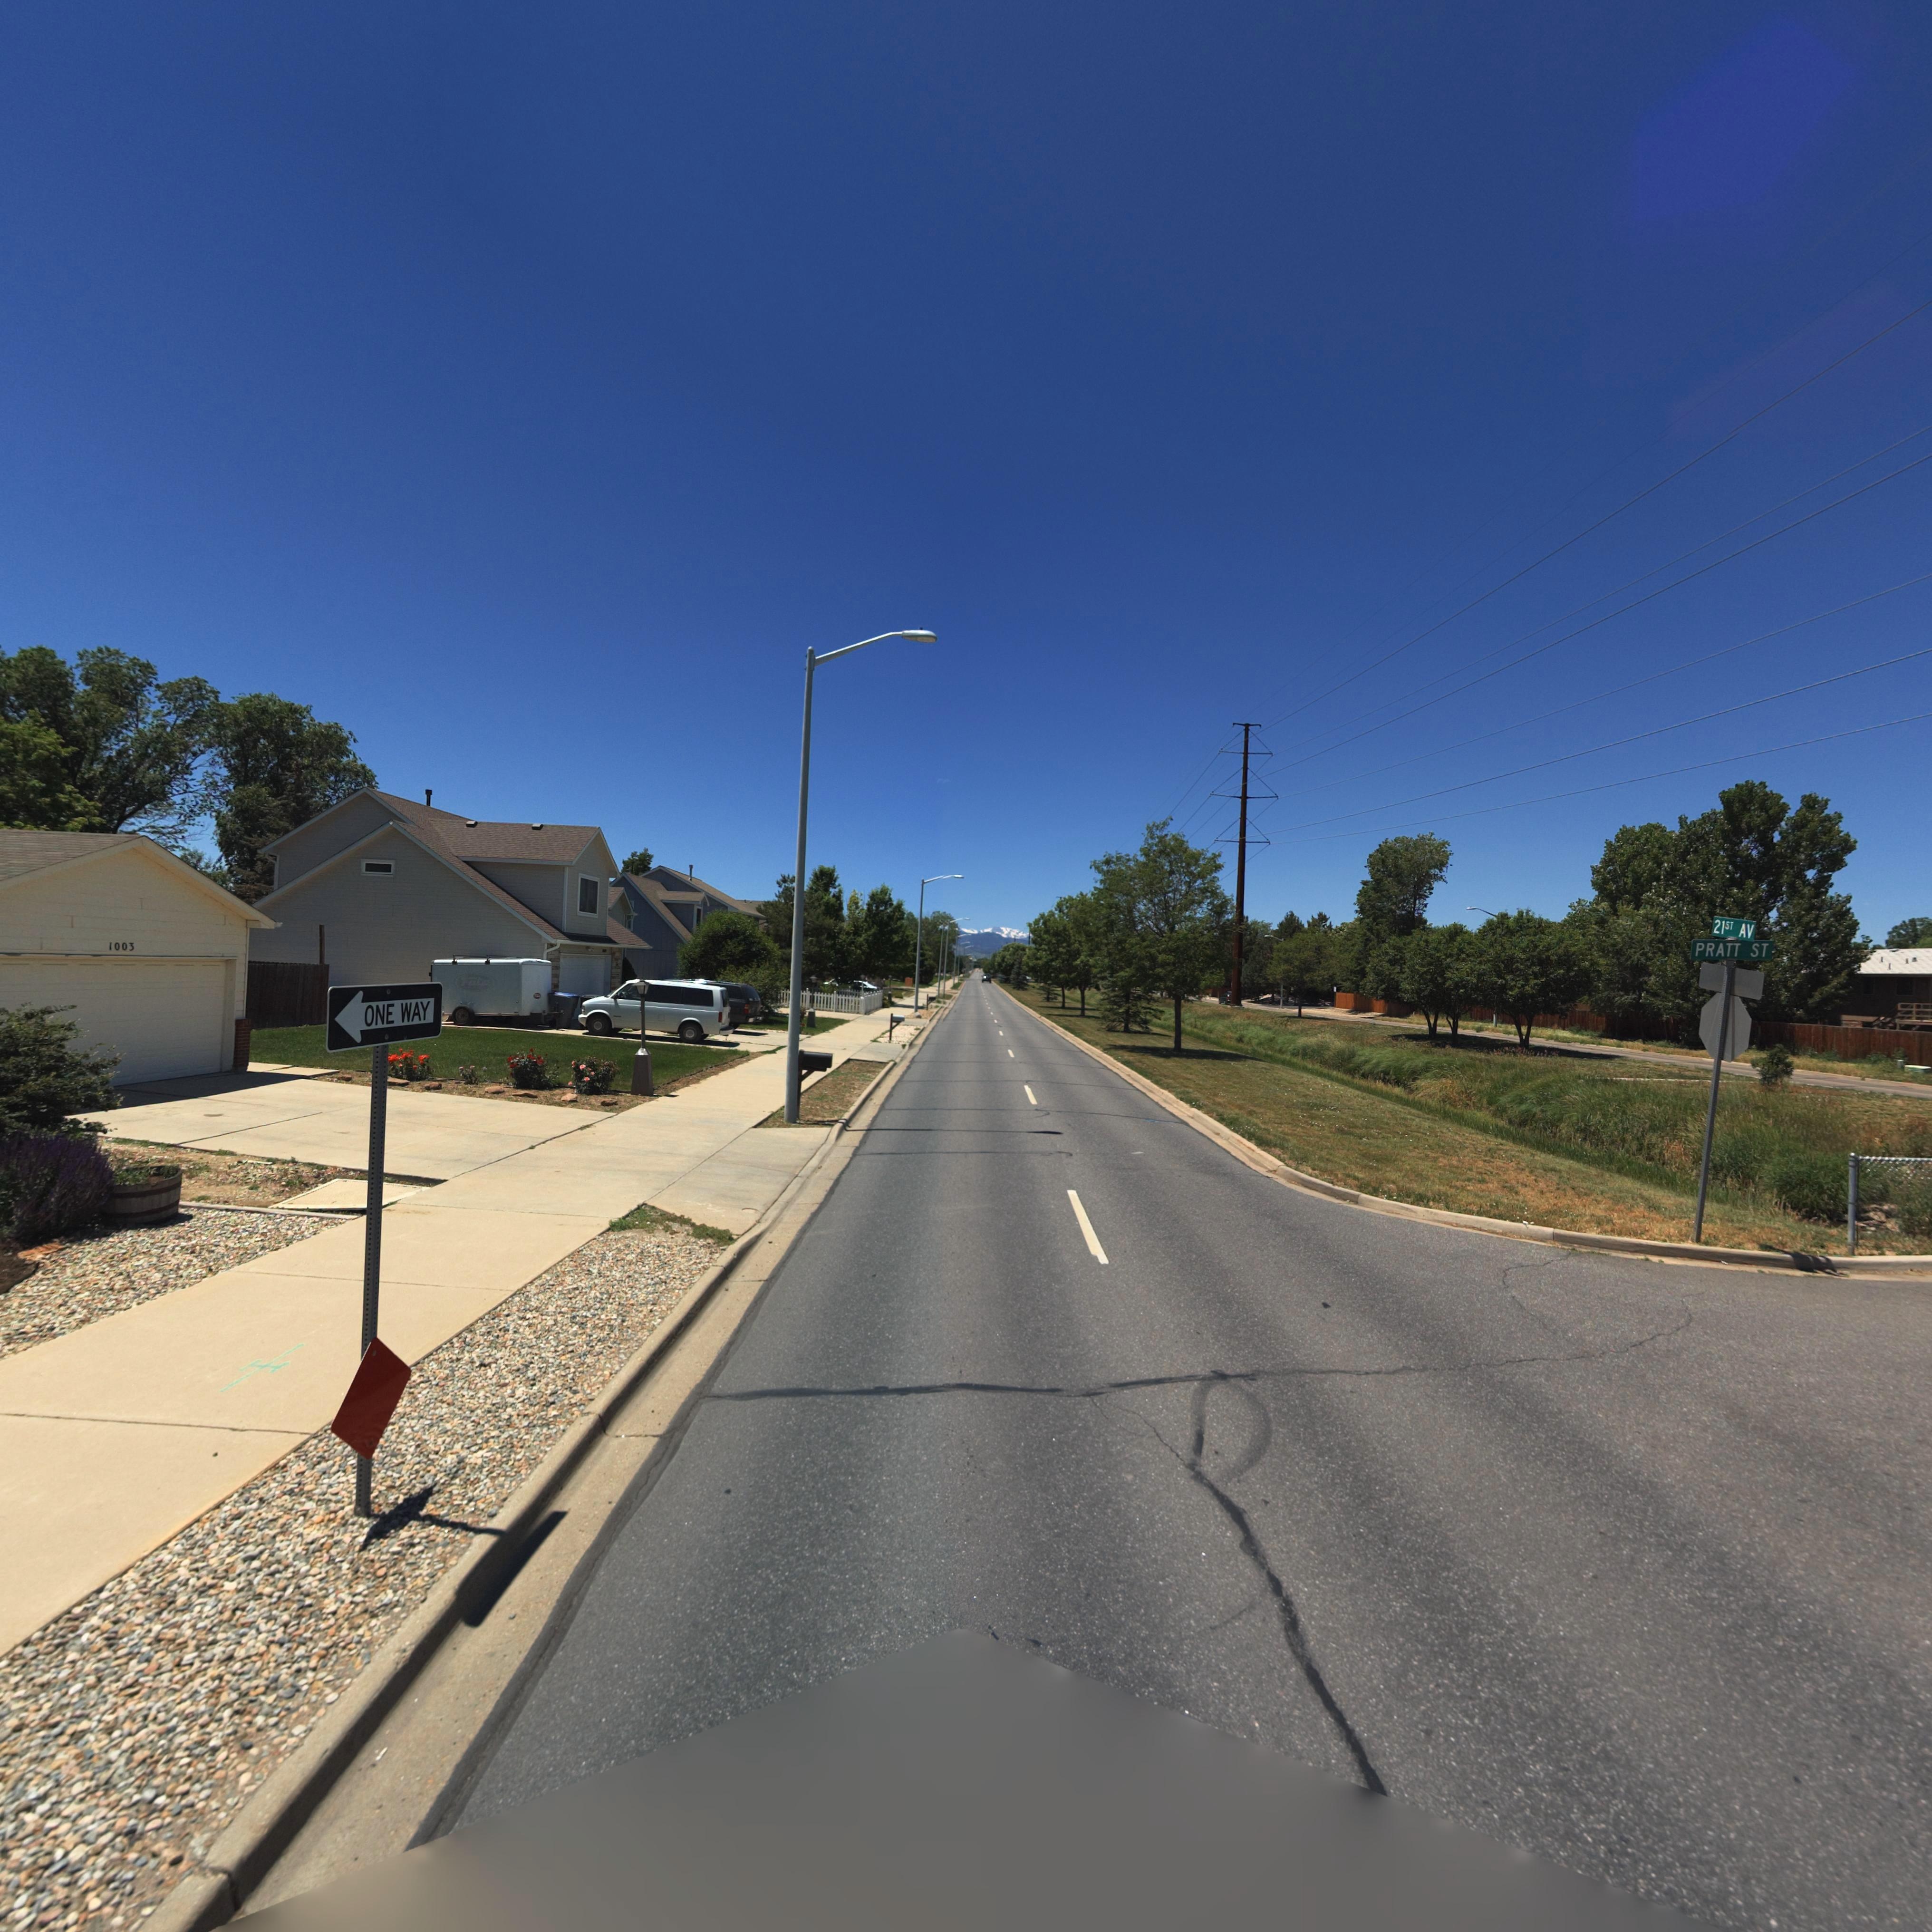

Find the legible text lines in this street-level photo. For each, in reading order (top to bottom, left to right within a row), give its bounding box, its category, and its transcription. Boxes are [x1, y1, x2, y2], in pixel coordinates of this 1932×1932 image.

[1712, 918, 1755, 939] StreetName: 21ST AV
[107, 941, 137, 951] StreetNumber: 1003
[1693, 941, 1772, 959] StreetName: PRATT ST